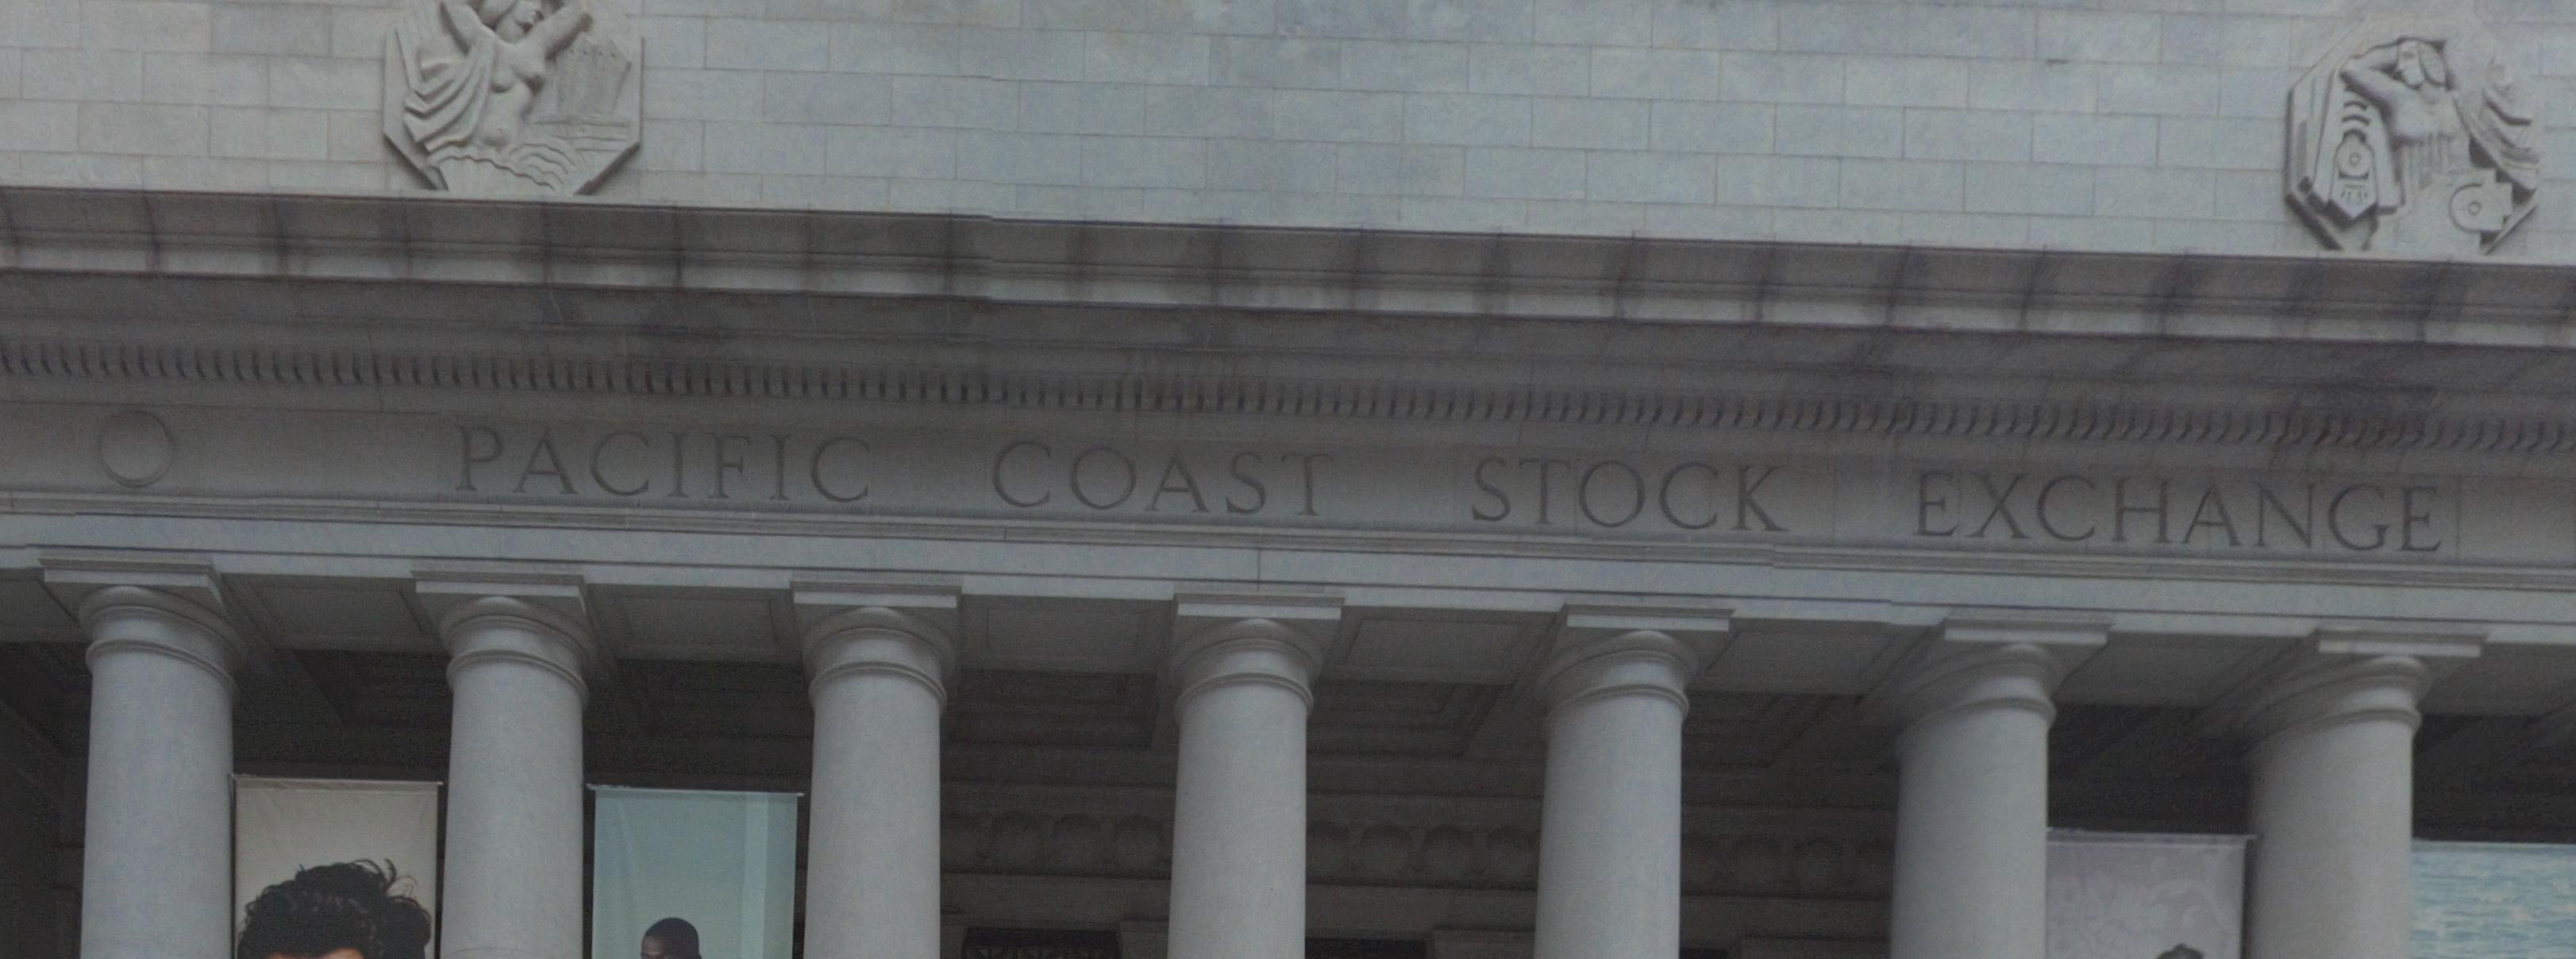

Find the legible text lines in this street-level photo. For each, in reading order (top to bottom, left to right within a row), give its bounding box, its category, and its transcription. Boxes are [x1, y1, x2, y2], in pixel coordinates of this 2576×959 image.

[450, 419, 2446, 559] BusinessName: PACIFIC COAST STOCK EXCHANGE